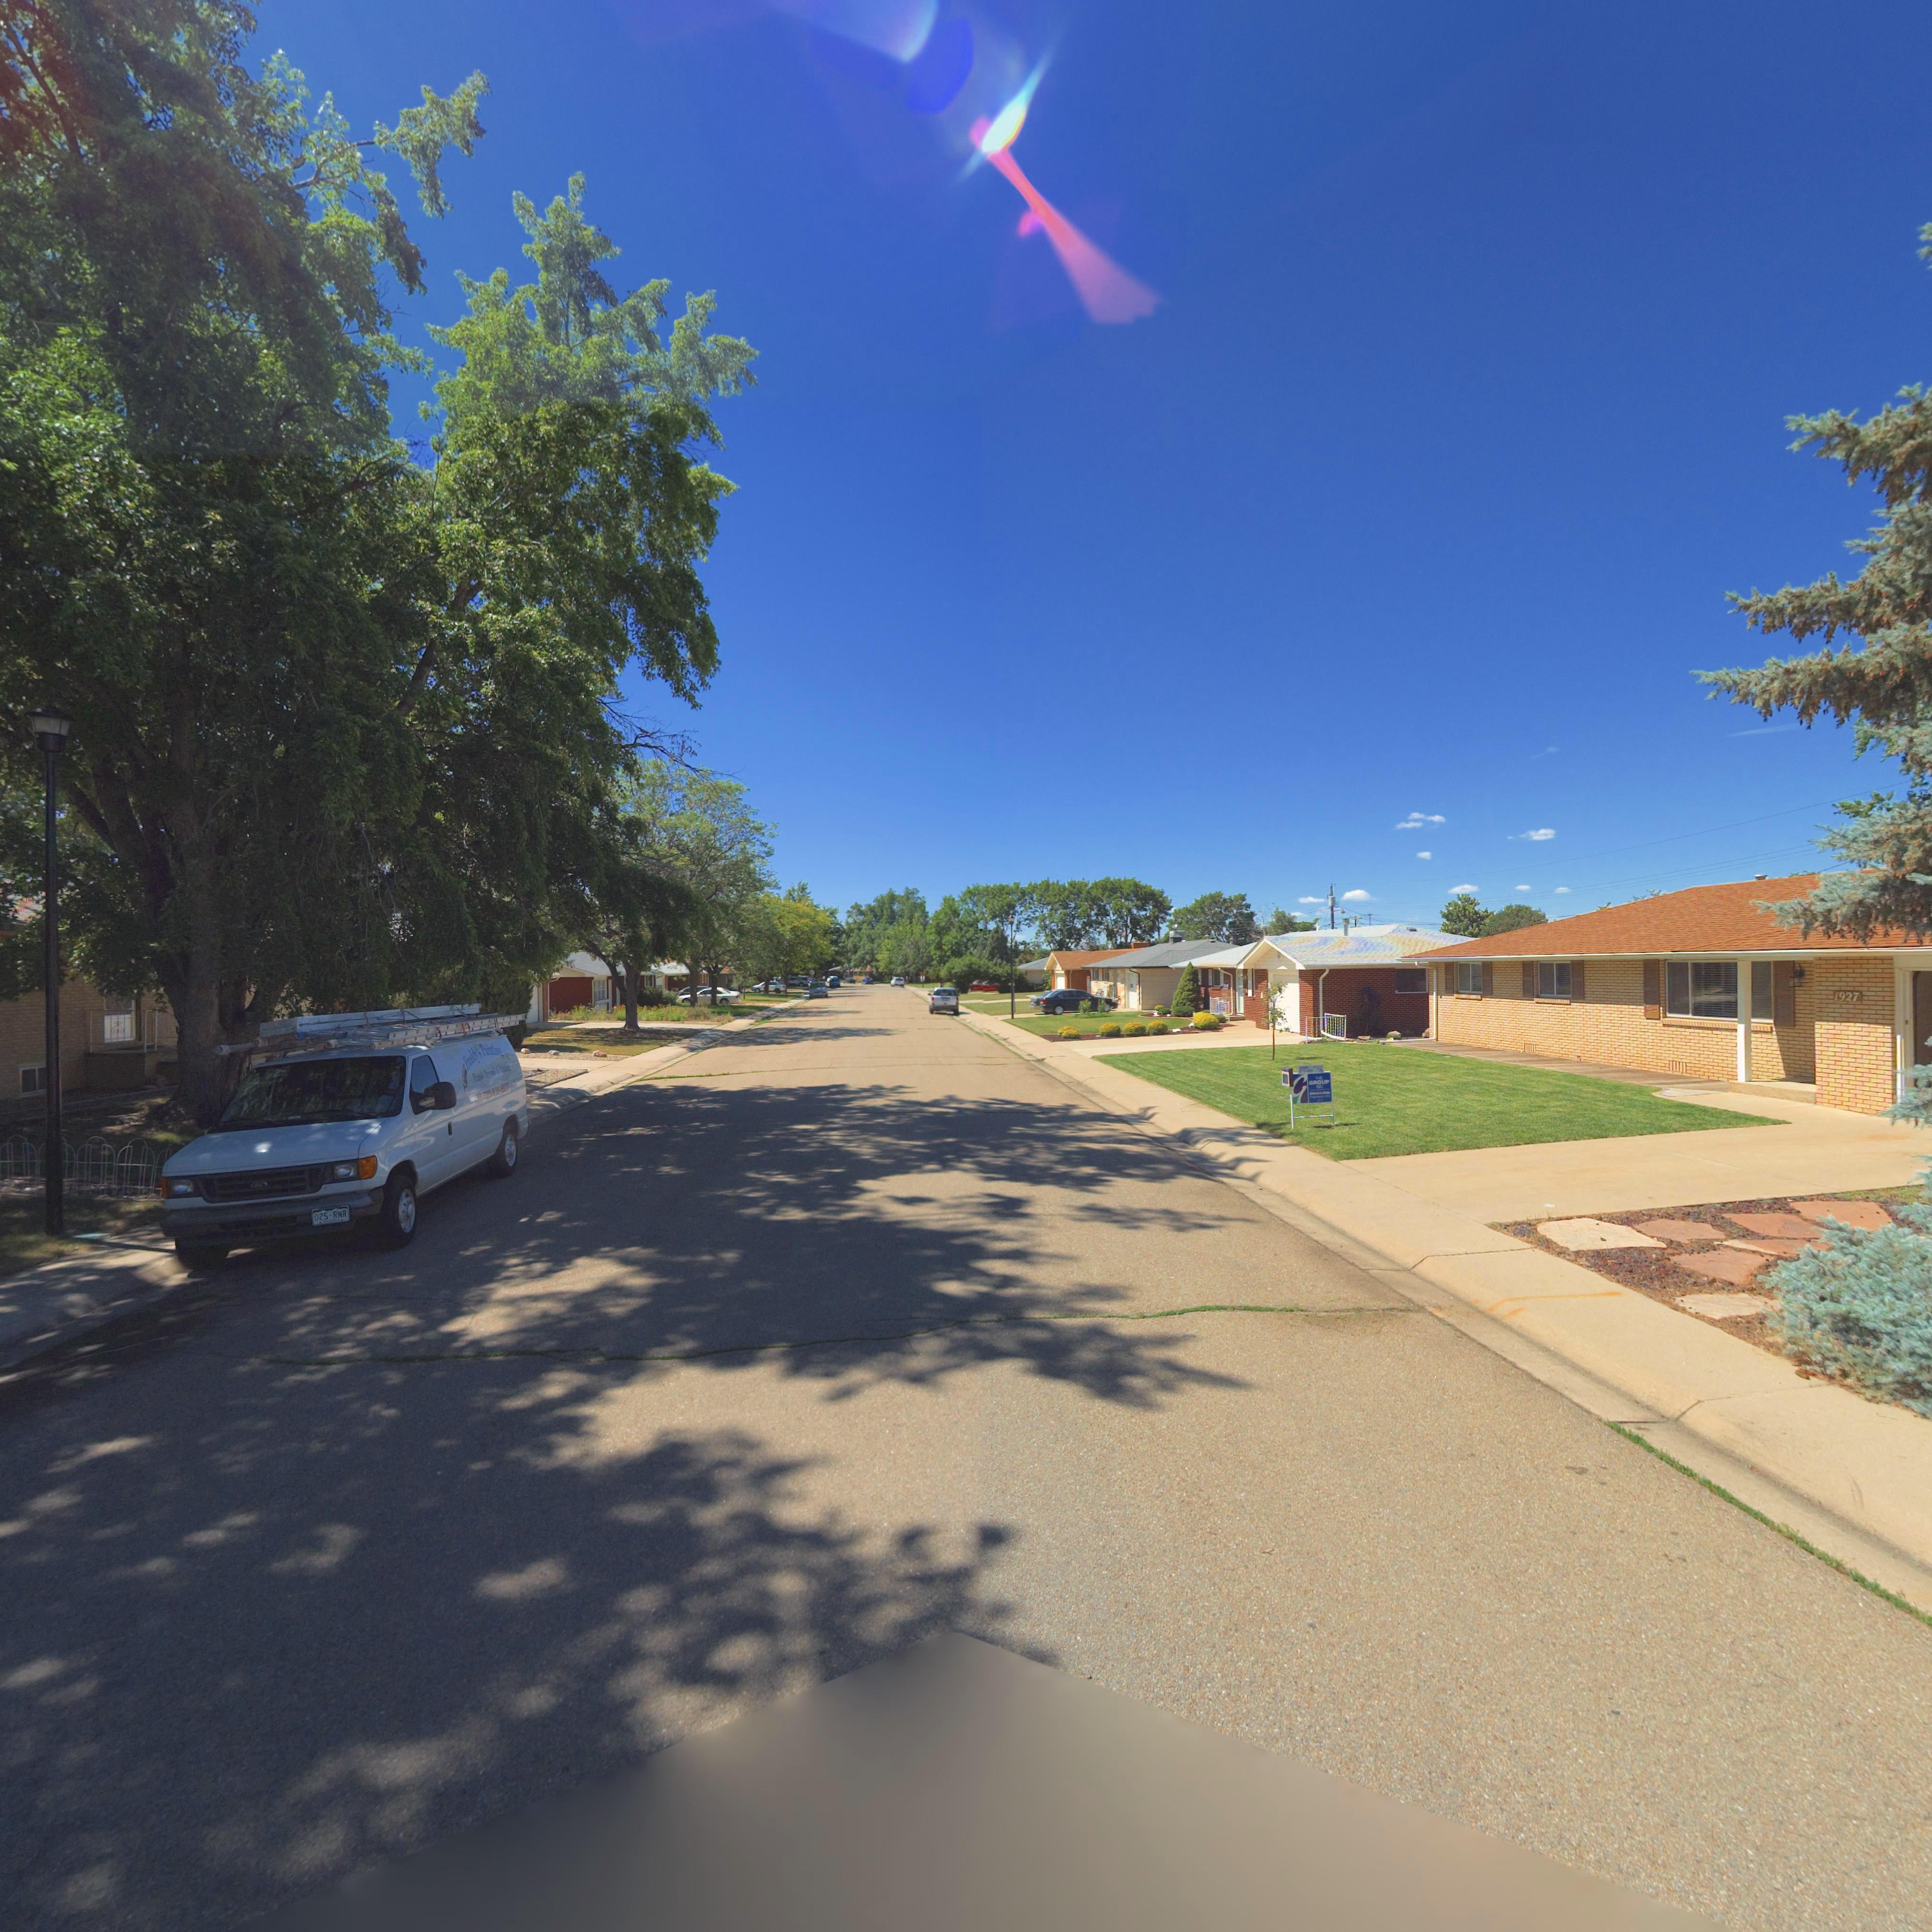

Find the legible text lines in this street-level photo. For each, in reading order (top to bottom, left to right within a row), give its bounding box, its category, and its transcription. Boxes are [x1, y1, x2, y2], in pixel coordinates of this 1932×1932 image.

[1833, 991, 1860, 1002] StreetNumber: 1927